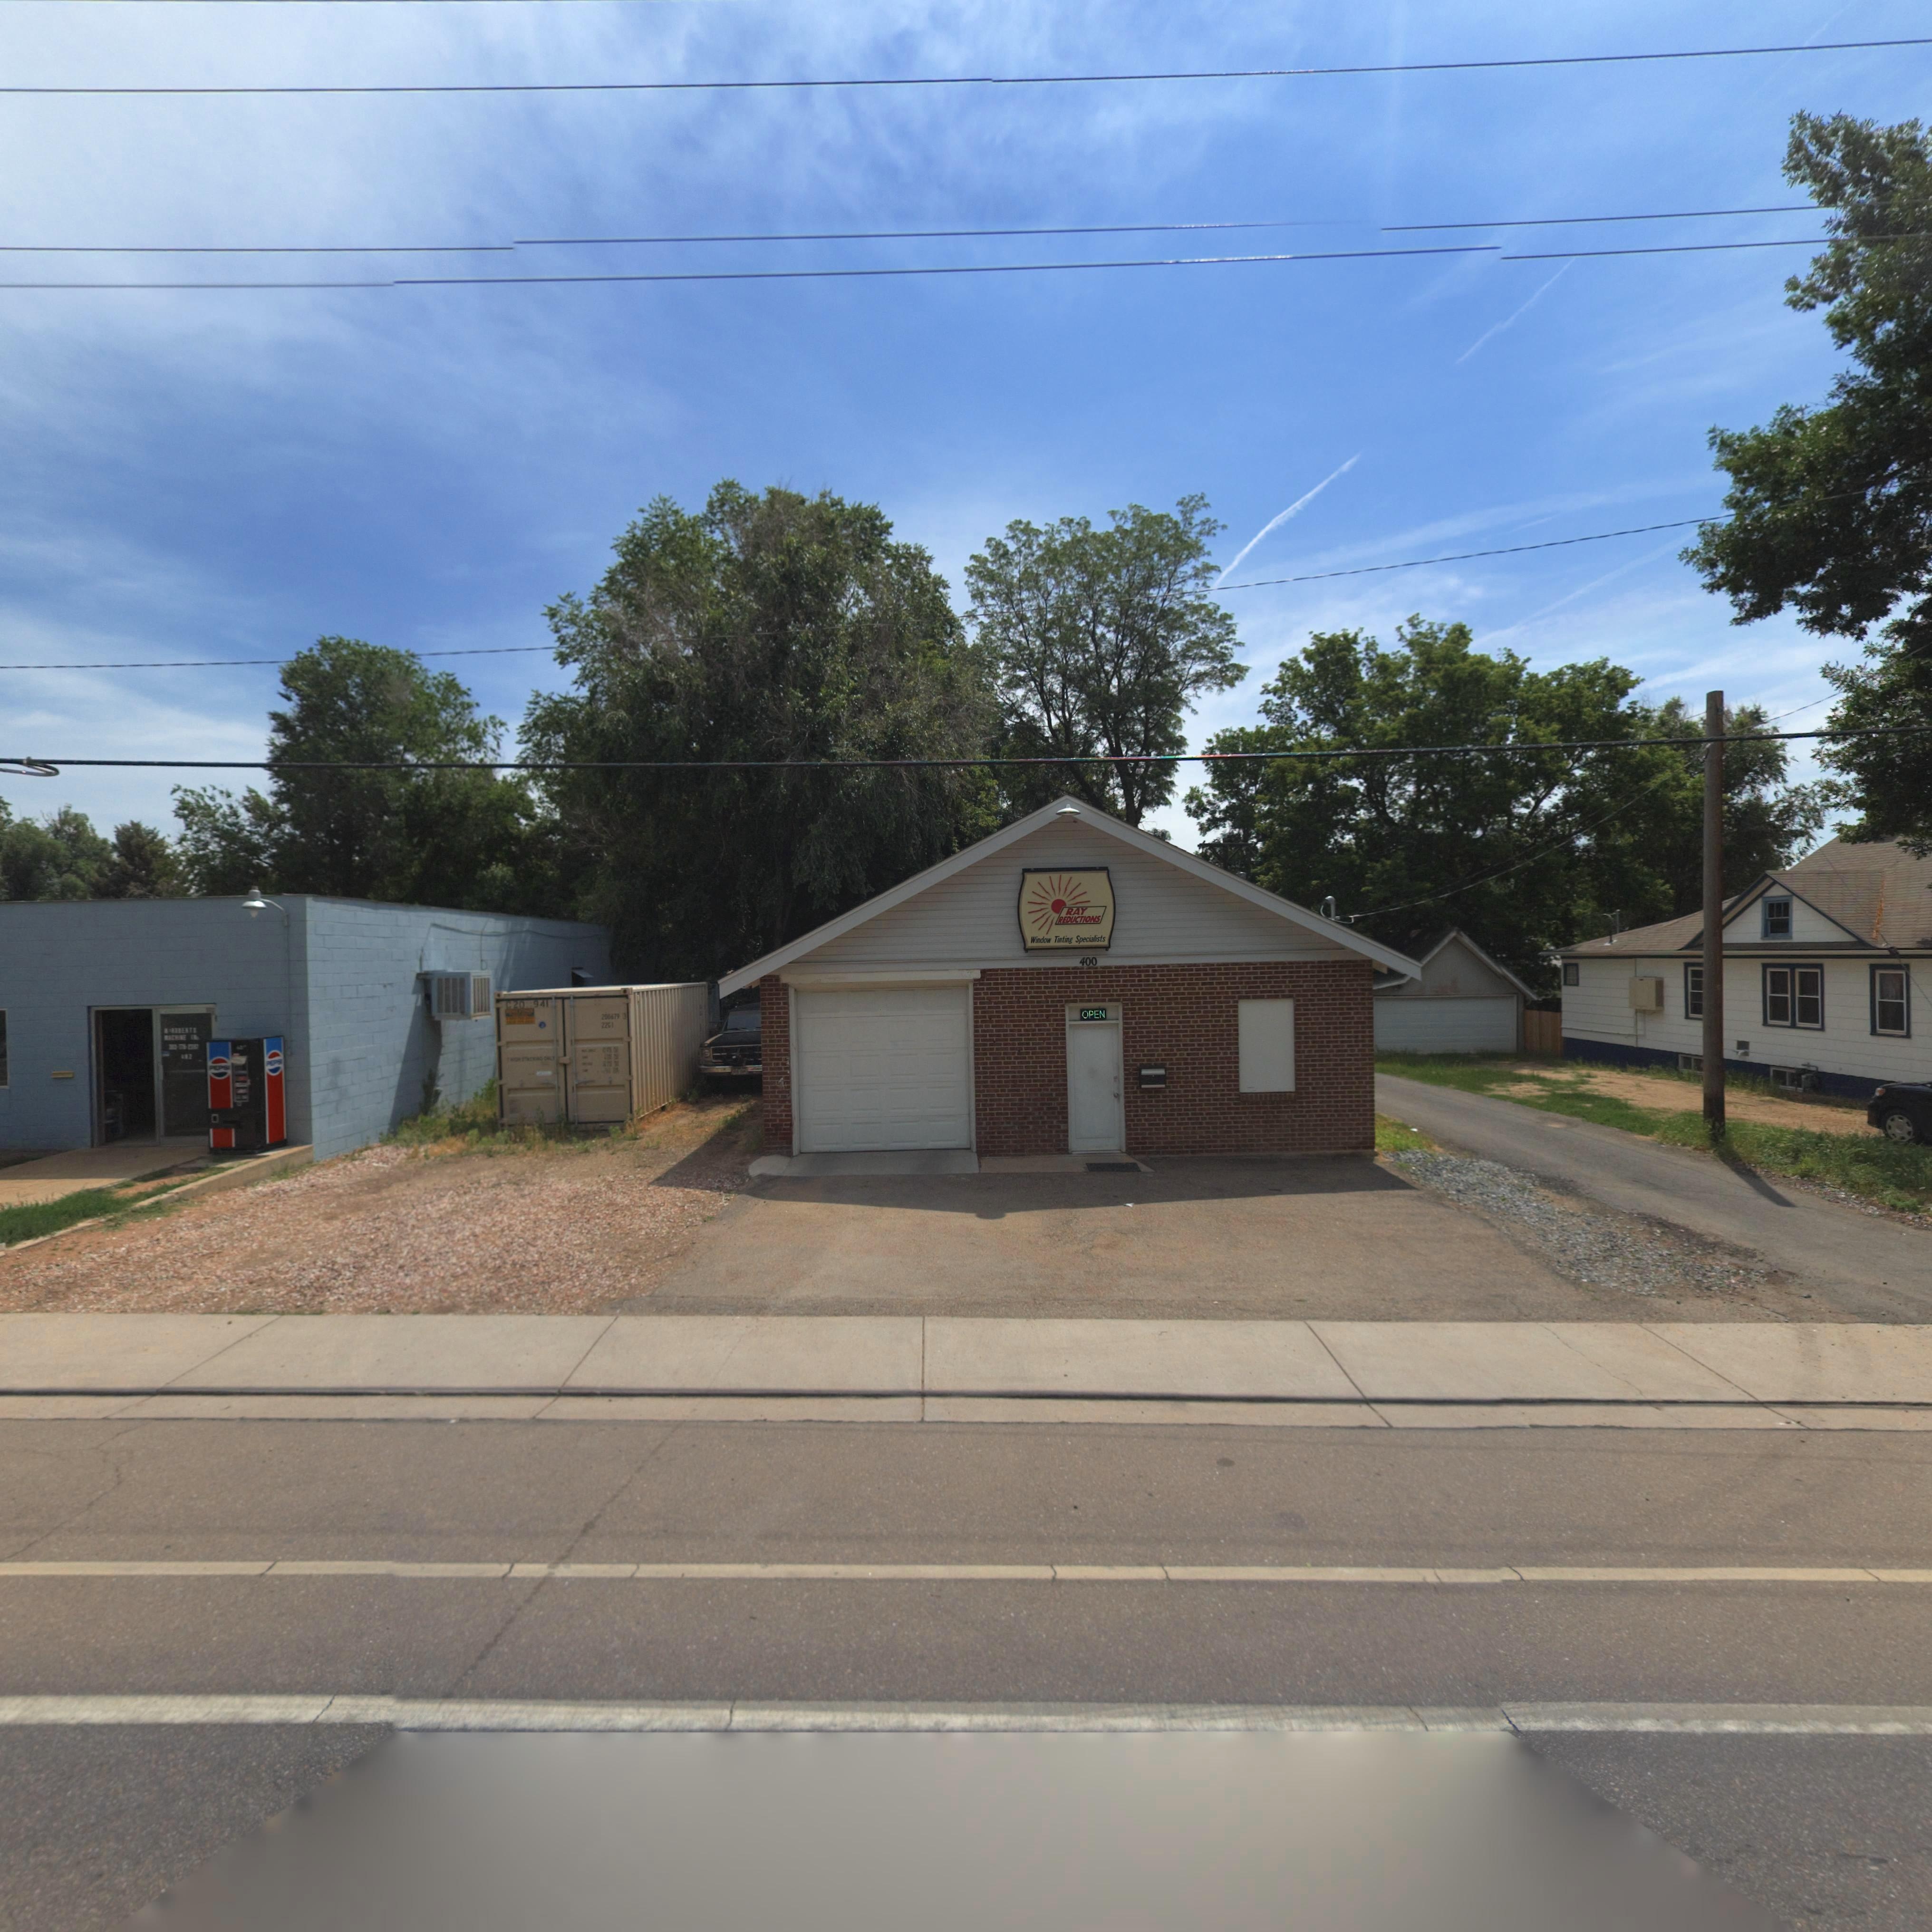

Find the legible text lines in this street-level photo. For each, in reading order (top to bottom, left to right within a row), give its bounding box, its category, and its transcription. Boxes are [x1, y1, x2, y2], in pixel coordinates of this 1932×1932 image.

[1064, 907, 1089, 915] BusinessName: RAY
[1056, 915, 1102, 924] BusinessName: REDUCTIONS
[1078, 956, 1098, 966] StreetNumber: 400
[163, 1027, 196, 1034] BusinessName: M*ROBERTS
[164, 1034, 199, 1041] BusinessName: MACHINE INc